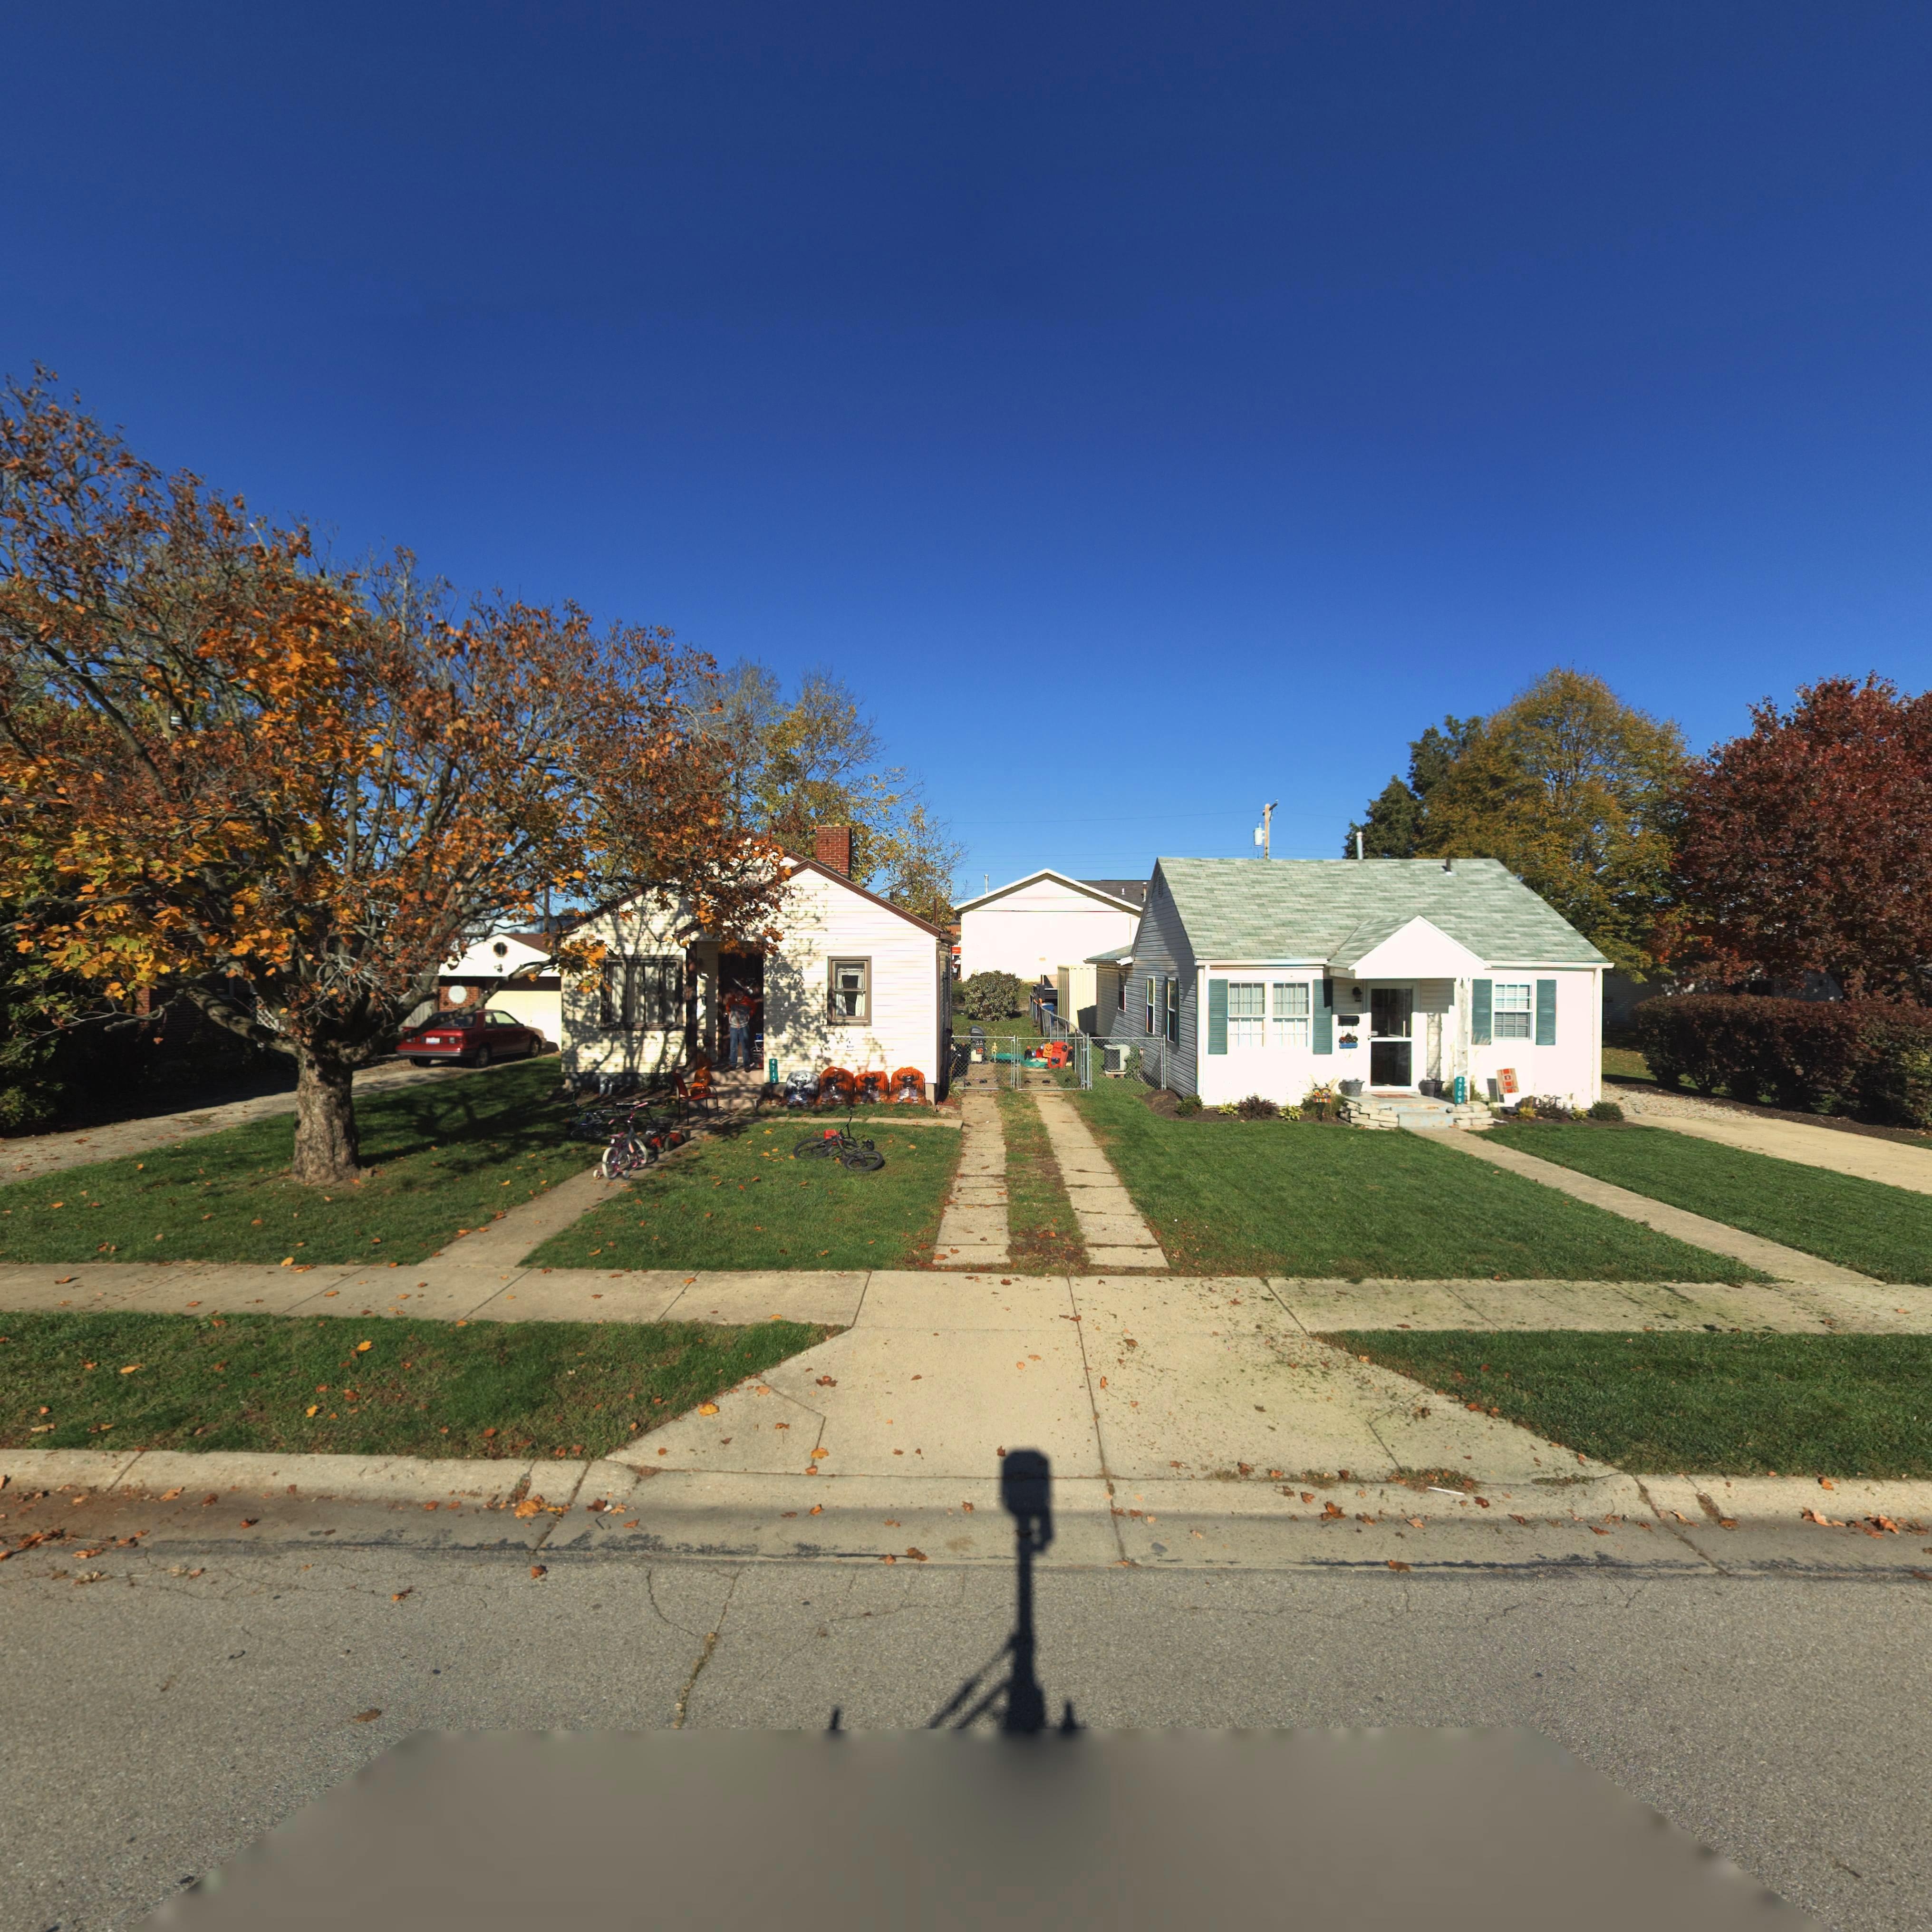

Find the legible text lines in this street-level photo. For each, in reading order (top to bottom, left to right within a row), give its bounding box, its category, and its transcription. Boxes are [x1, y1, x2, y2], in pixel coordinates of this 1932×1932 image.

[771, 1058, 777, 1084] StreetNumber: 4713
[1457, 1076, 1463, 1104] StreetNumber: 4709